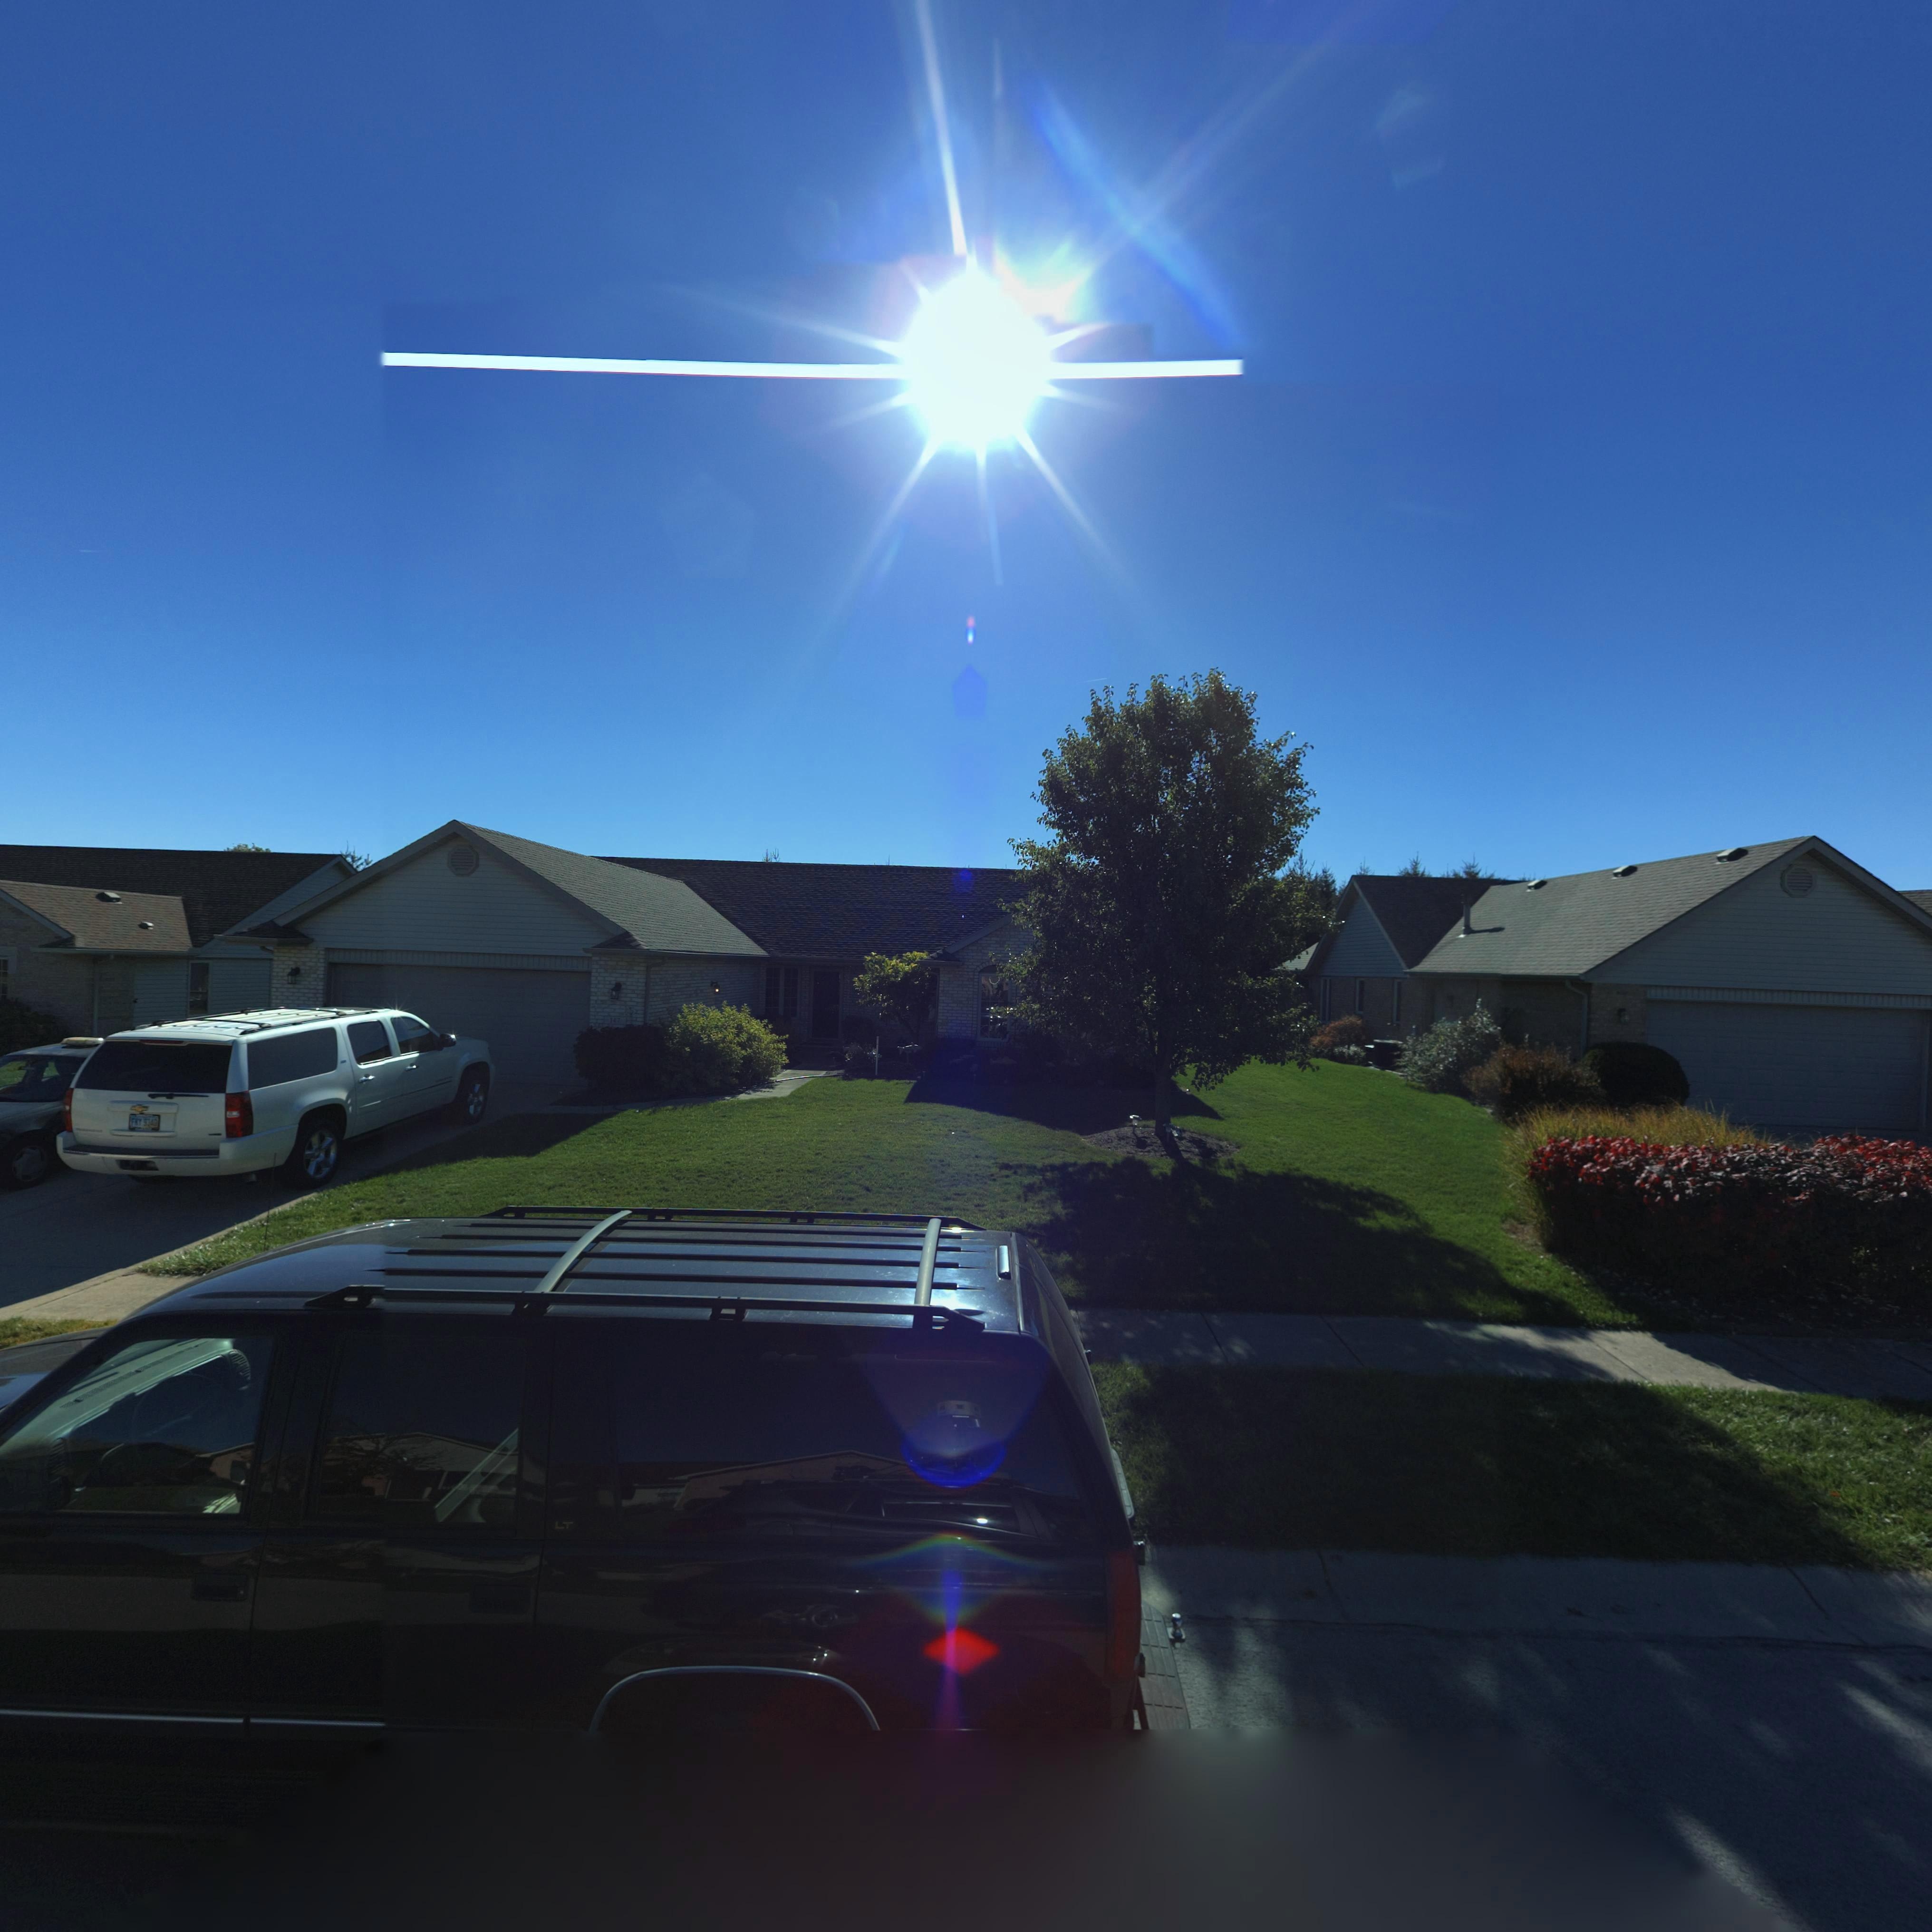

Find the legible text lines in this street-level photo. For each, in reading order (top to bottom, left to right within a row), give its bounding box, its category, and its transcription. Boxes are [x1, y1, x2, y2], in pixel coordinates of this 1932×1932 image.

[609, 1017, 621, 1024] StreetNumber: 147
[129, 1116, 159, 1127] None: FKY 9***